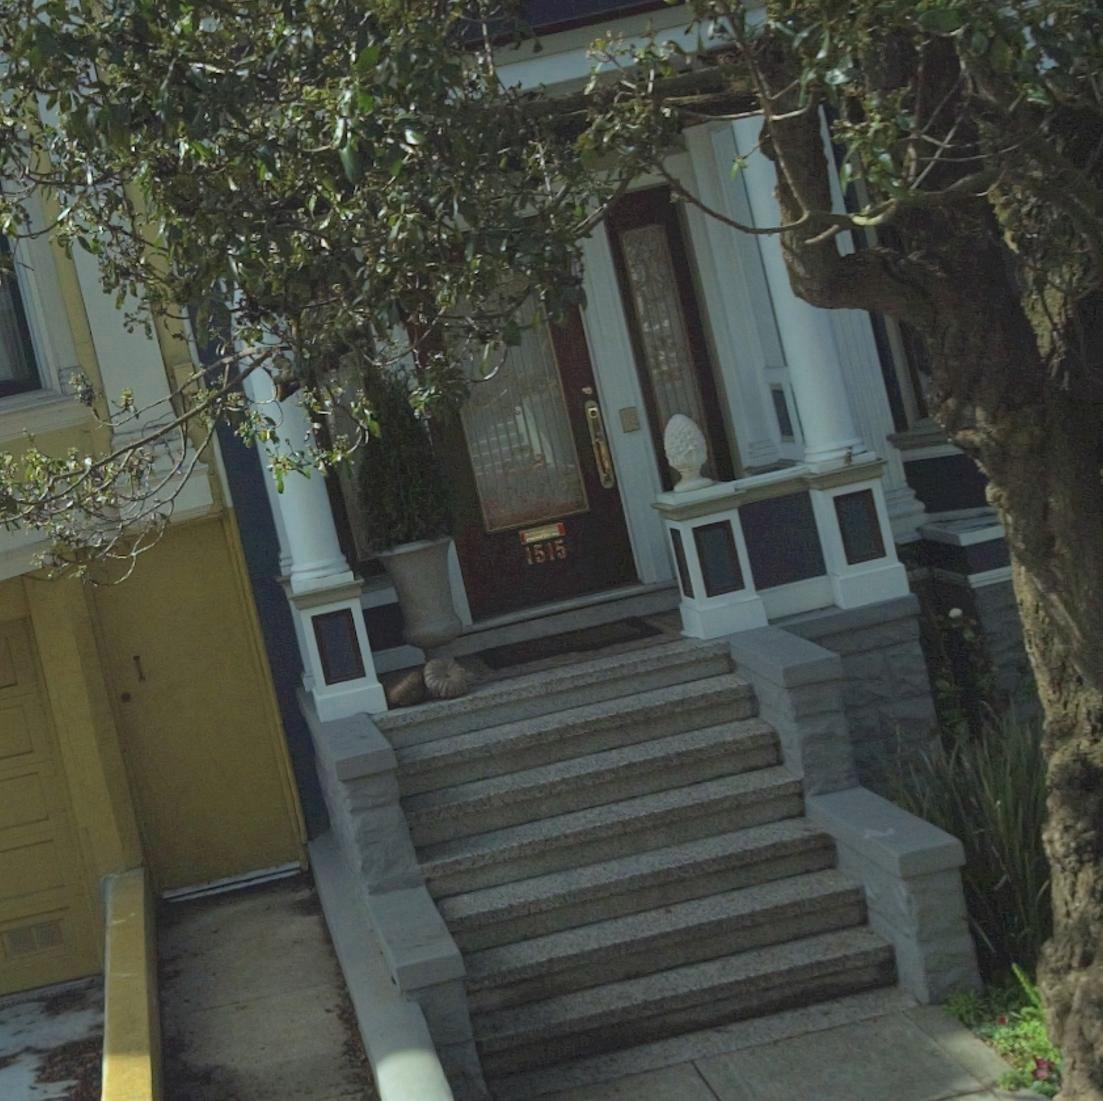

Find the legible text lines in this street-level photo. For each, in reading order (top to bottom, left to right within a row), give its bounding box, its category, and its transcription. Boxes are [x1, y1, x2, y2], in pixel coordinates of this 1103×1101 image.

[520, 535, 571, 570] StreetNumber: 1515